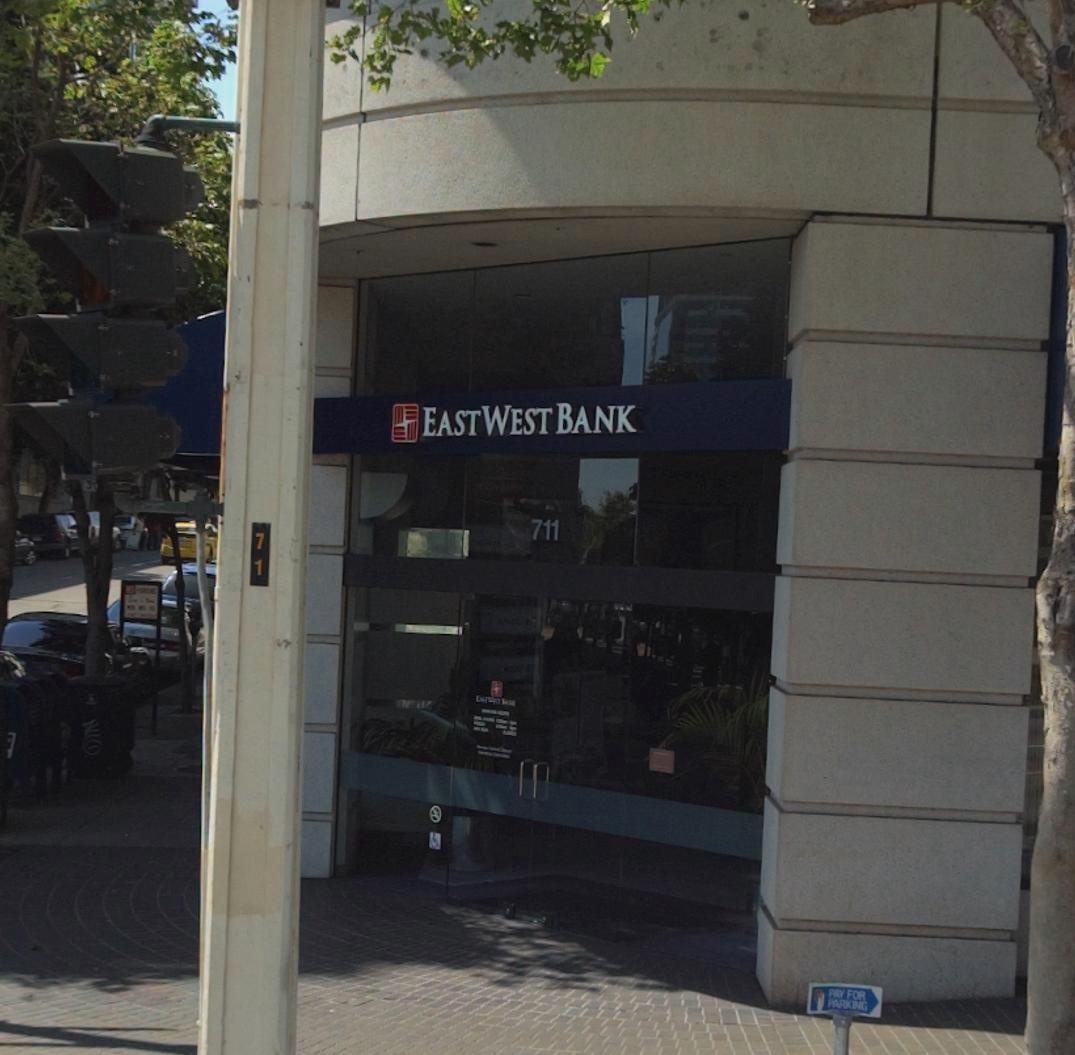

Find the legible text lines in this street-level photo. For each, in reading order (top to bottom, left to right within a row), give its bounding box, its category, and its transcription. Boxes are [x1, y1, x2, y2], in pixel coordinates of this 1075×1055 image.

[422, 399, 640, 439] BusinessName: EASTWEST BANK
[528, 517, 562, 543] StreetNumber: 711
[252, 529, 266, 578] None: 71